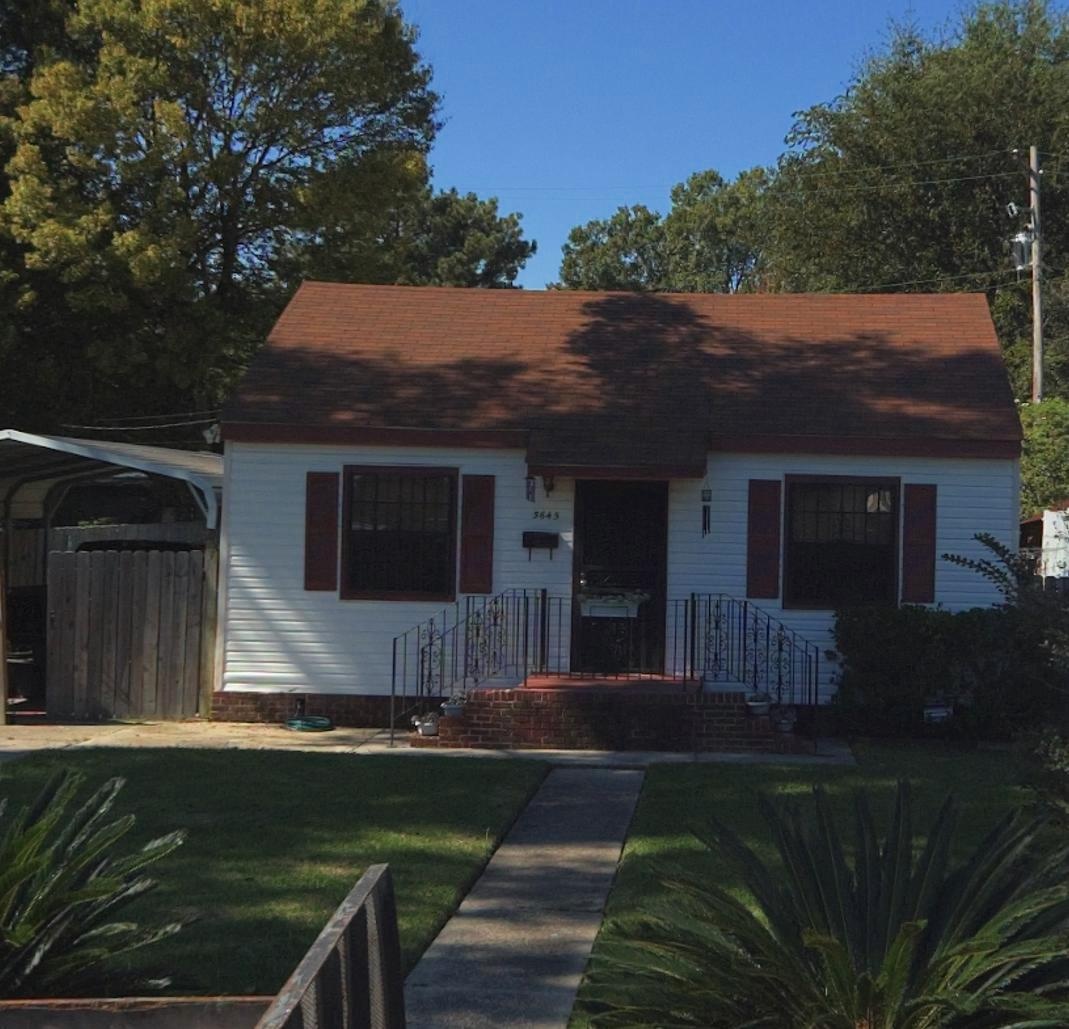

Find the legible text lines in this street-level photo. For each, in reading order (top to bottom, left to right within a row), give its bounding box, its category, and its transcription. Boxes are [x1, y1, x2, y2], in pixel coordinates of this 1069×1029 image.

[531, 510, 561, 521] StreetNumber: 3645